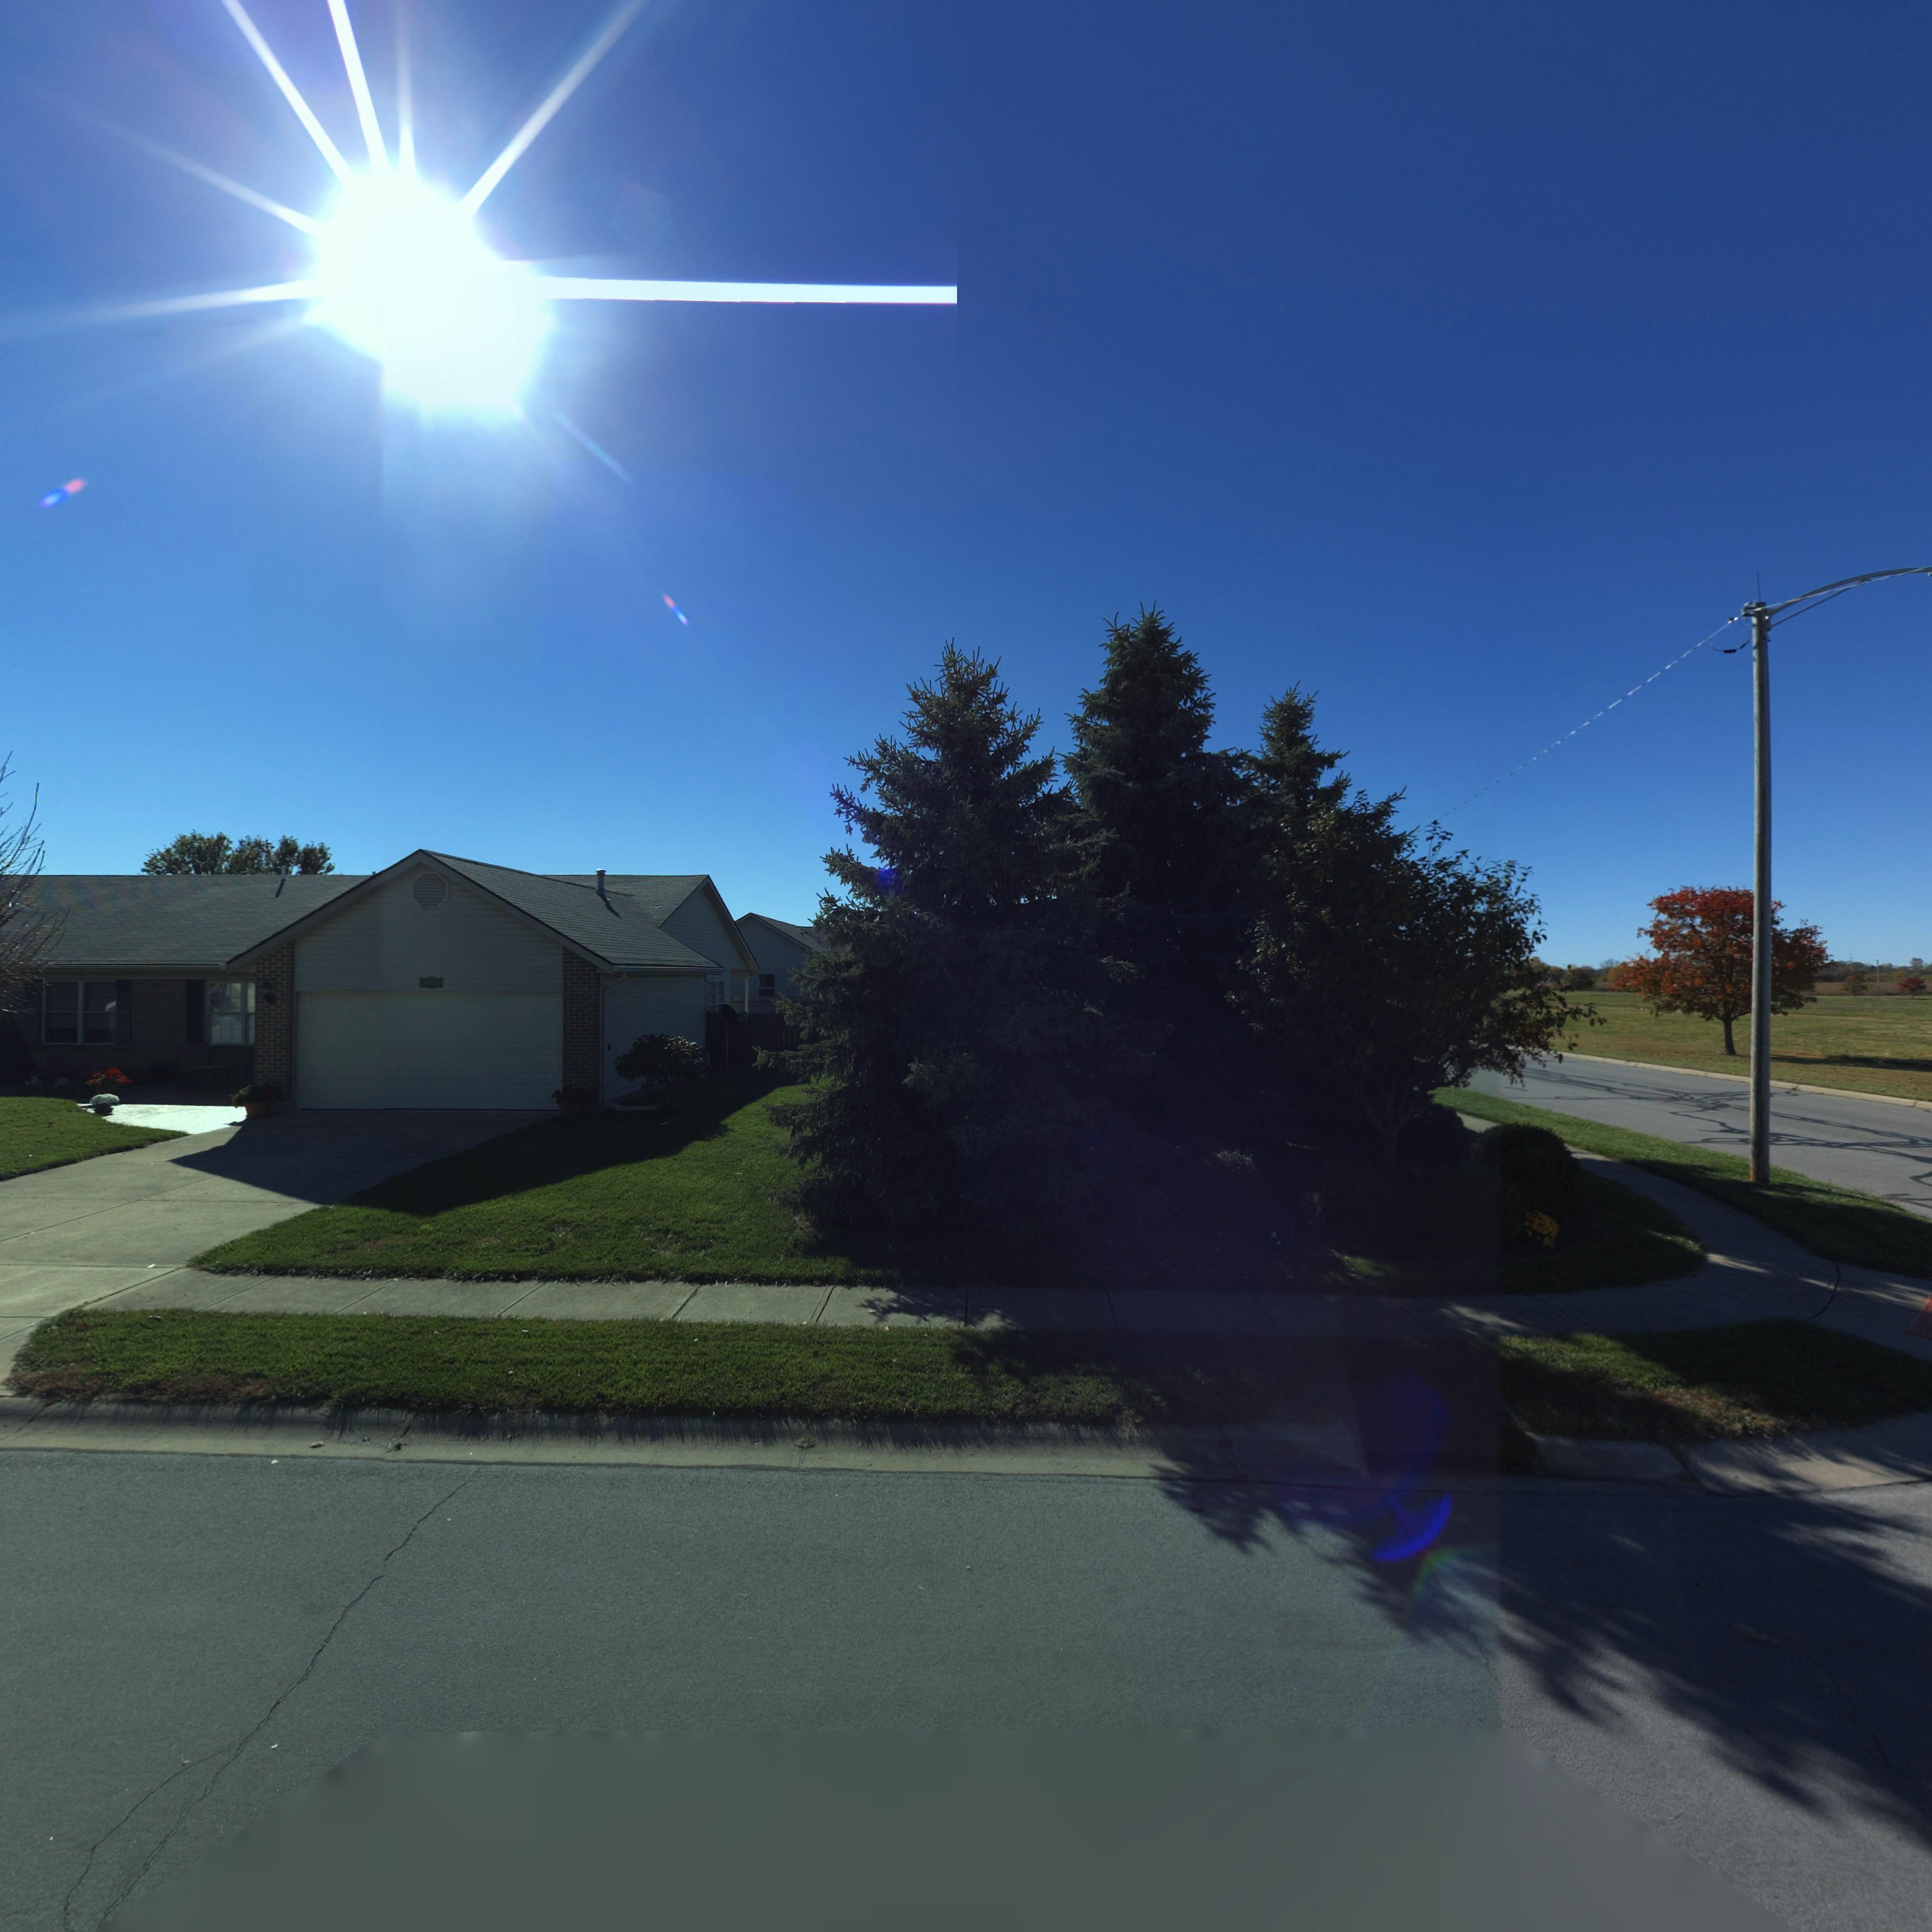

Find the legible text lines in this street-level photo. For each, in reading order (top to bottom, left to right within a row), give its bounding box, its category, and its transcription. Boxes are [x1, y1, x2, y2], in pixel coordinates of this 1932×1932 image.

[421, 977, 441, 987] StreetNumber: 130